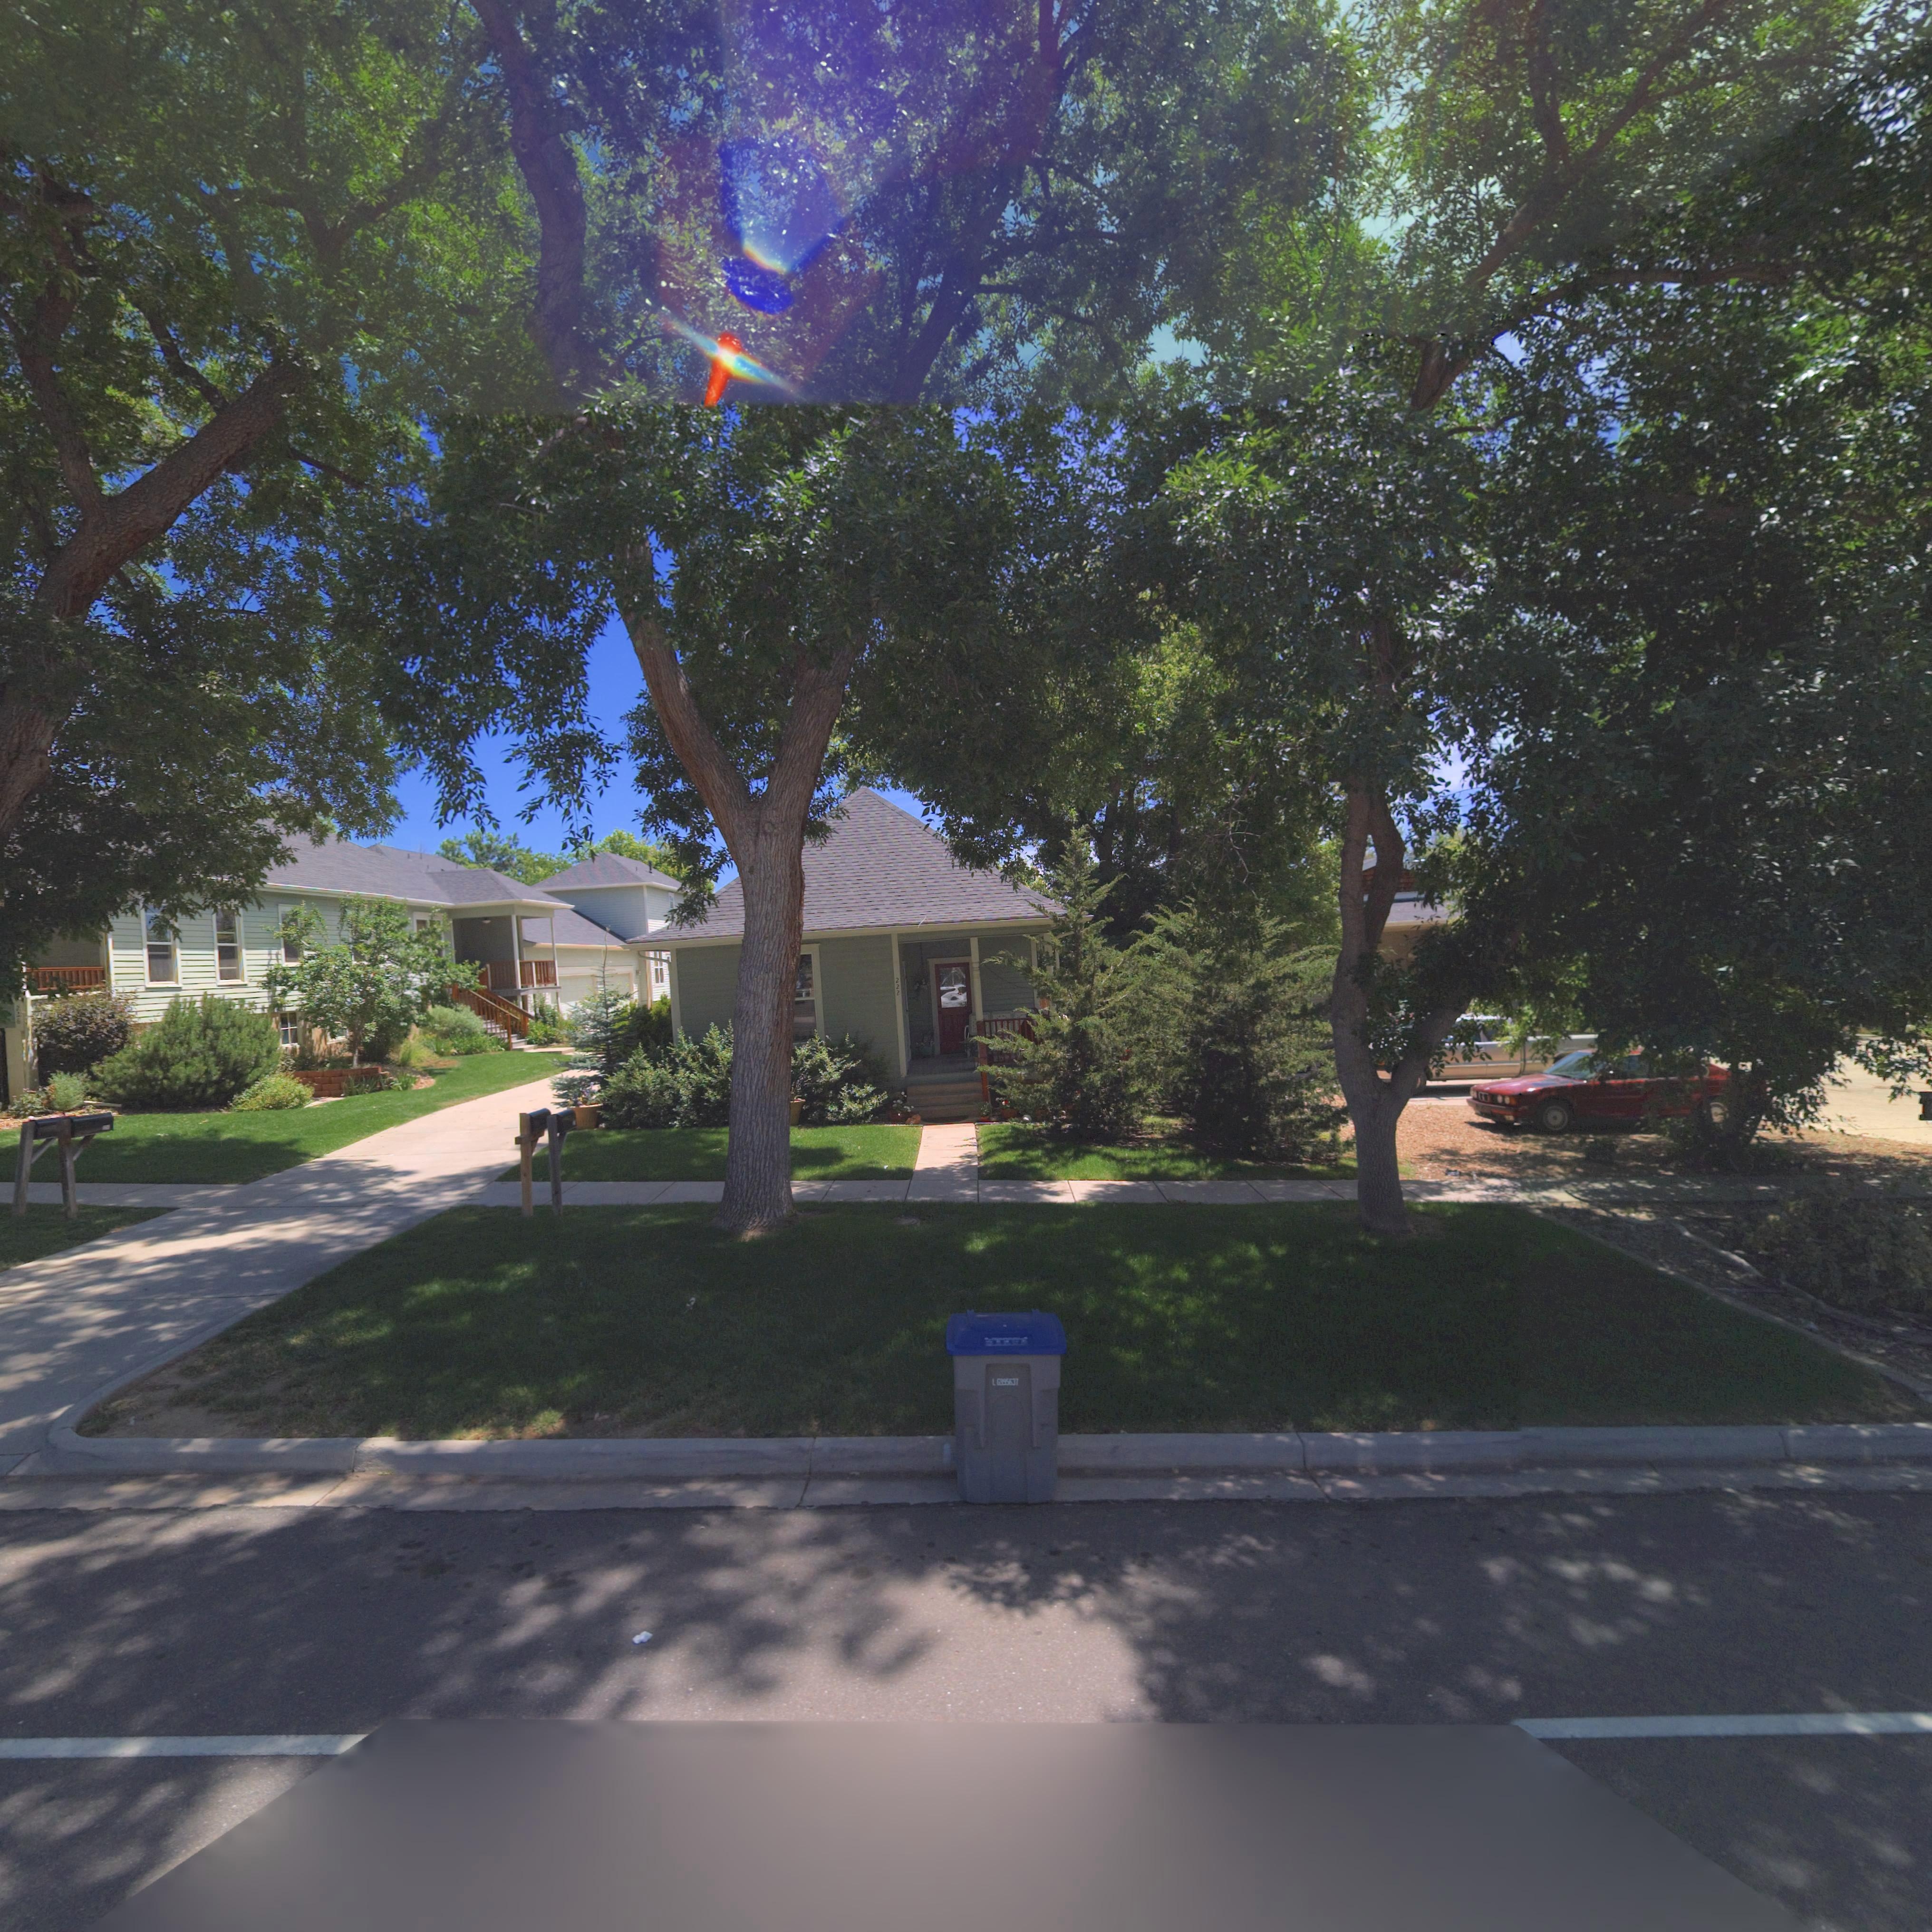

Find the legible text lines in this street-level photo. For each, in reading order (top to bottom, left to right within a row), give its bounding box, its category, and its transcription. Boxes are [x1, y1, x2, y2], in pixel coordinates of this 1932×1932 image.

[895, 977, 900, 995] StreetNumber: 222